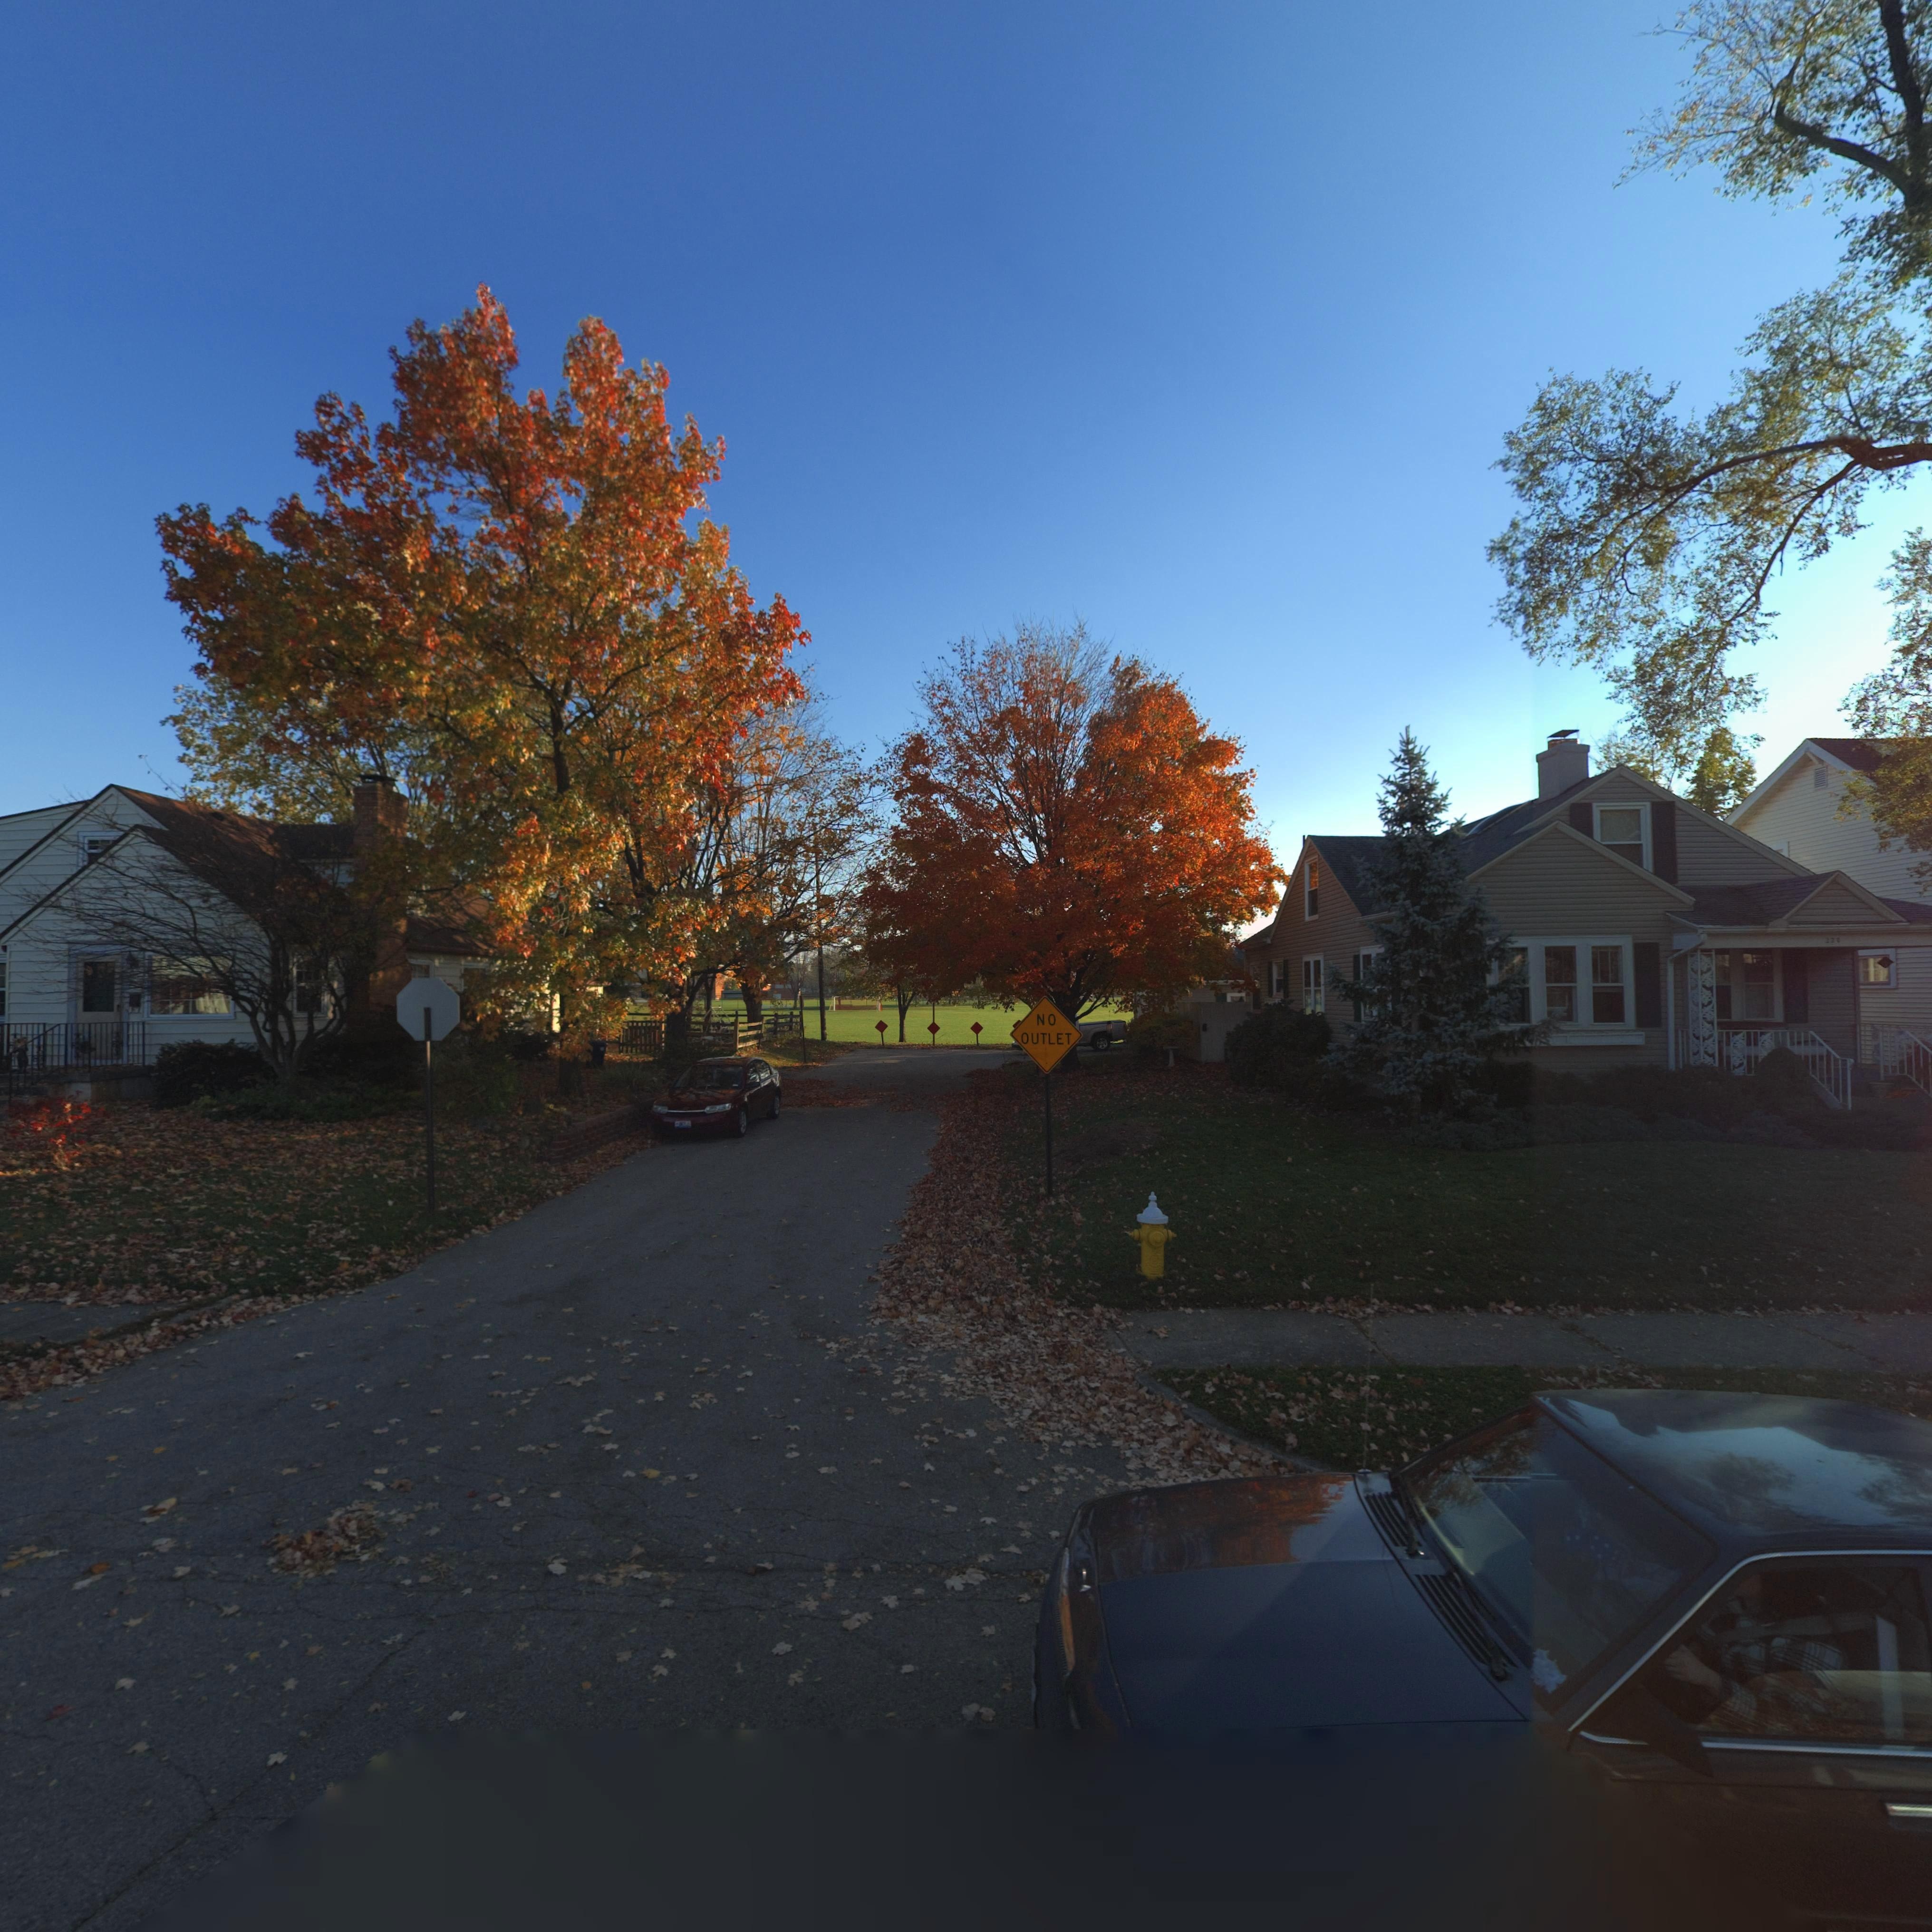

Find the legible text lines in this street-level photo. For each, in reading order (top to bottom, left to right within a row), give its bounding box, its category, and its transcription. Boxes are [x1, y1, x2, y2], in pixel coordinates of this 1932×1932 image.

[1825, 937, 1840, 943] StreetNumber: 228